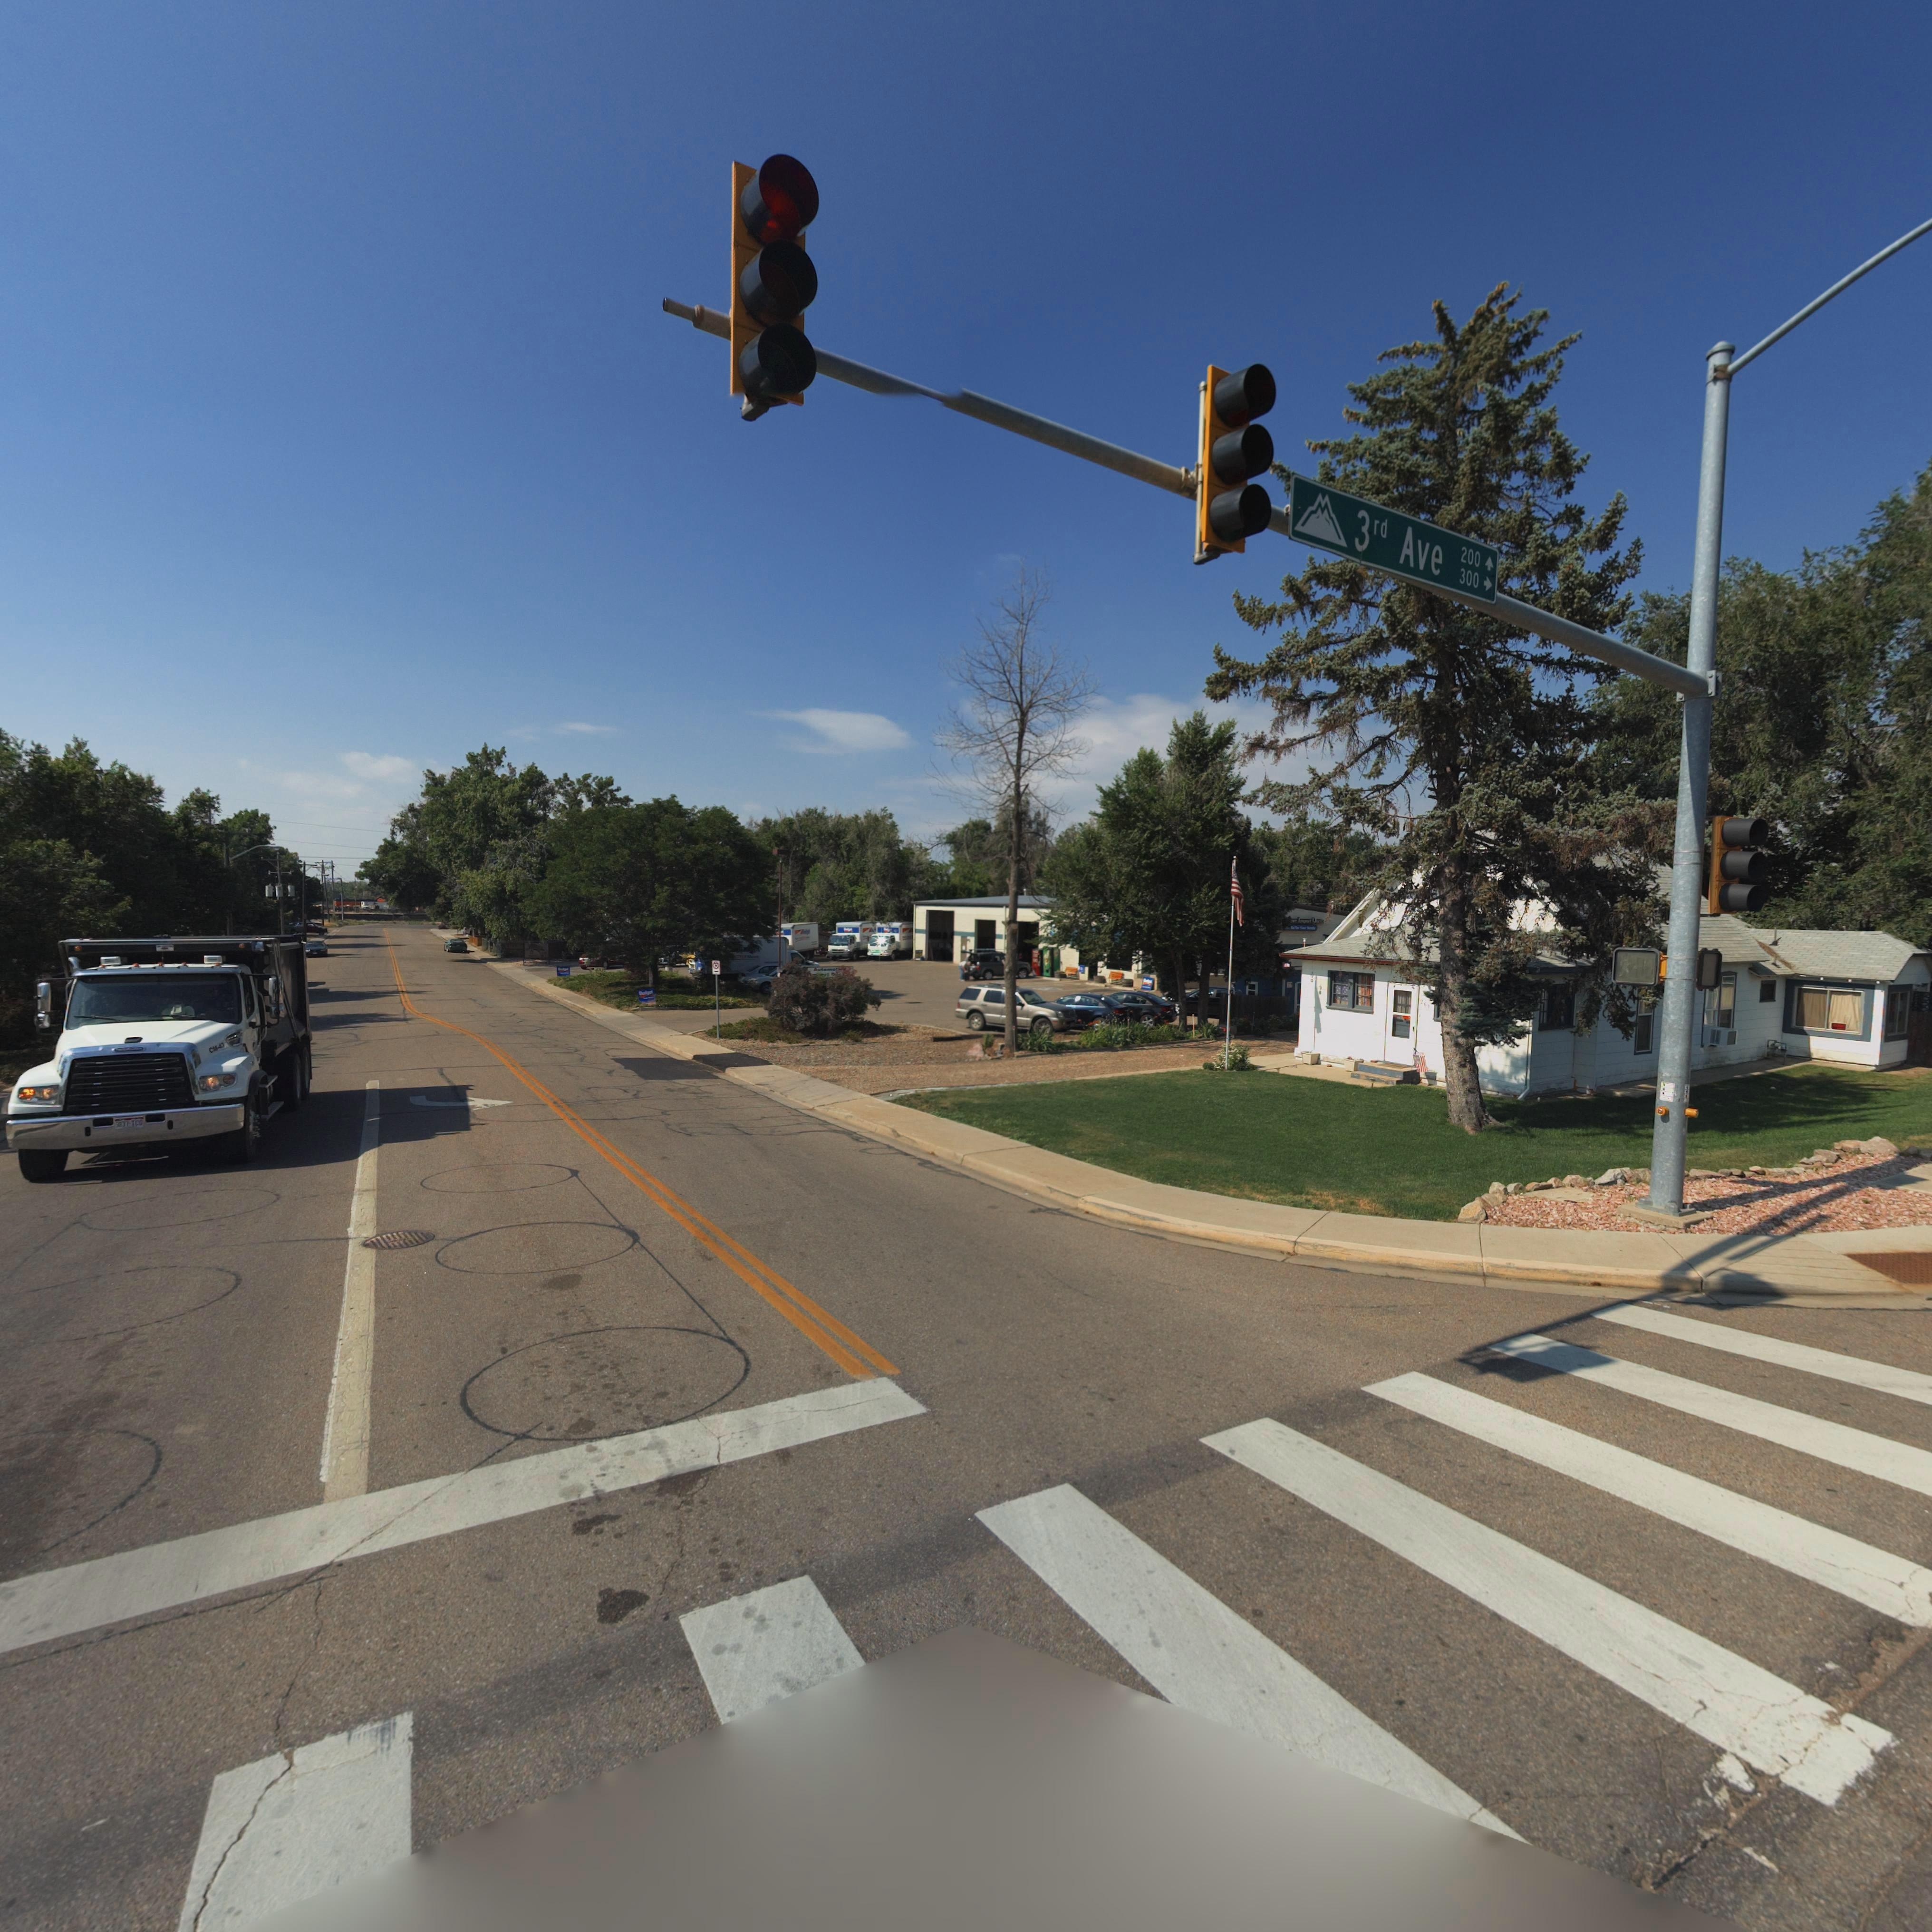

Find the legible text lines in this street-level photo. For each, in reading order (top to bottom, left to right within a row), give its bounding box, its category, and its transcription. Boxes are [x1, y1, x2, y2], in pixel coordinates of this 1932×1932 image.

[1354, 508, 1443, 576] StreetName: 3rd Ave
[1460, 545, 1481, 567] StreetNumberRange: 200
[1459, 567, 1493, 591] StreetNumberRange: 300->